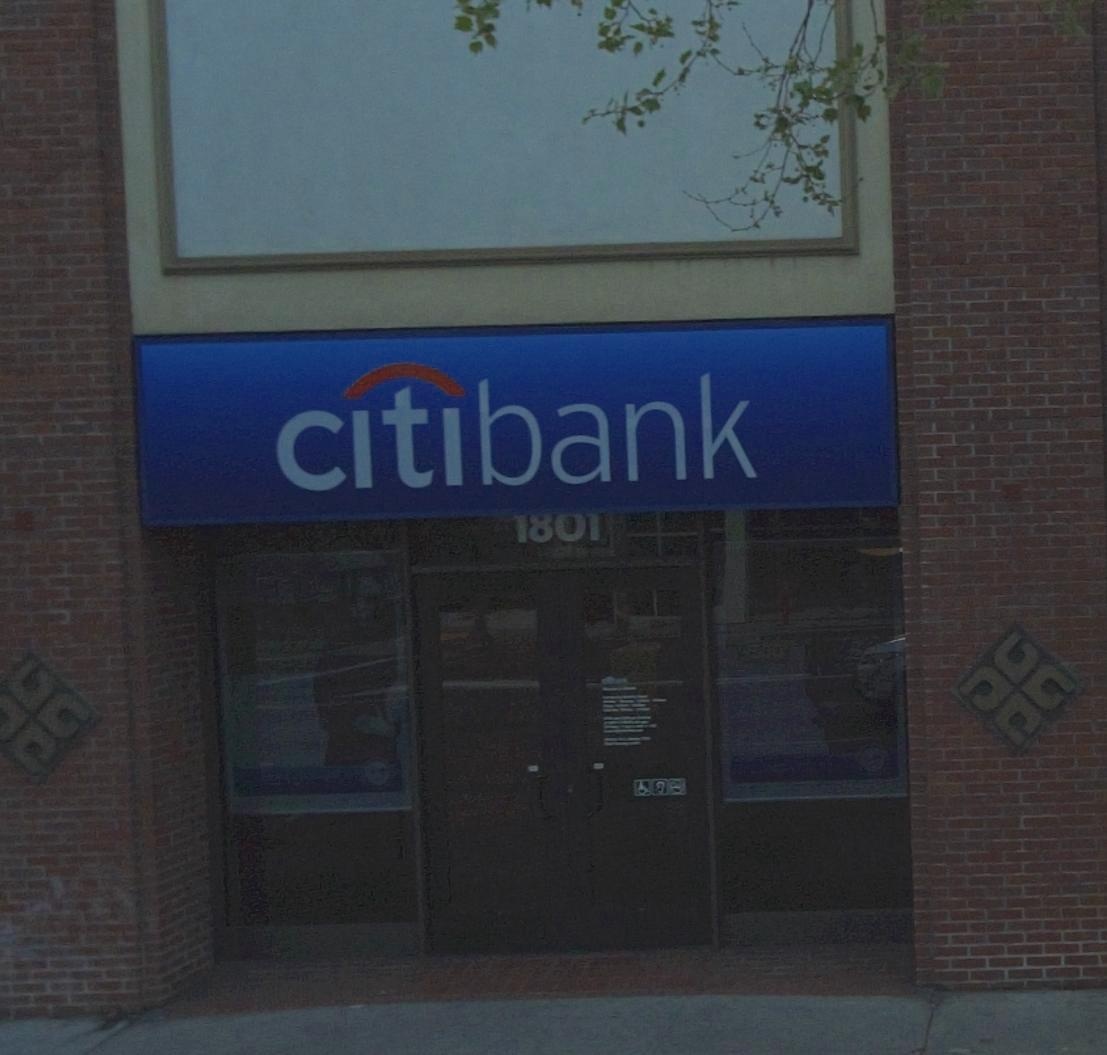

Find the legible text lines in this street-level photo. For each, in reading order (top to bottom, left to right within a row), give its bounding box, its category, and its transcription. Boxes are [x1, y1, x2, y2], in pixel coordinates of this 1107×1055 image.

[266, 365, 767, 504] BusinessName: citibank
[514, 508, 603, 547] StreetNumber: 1801